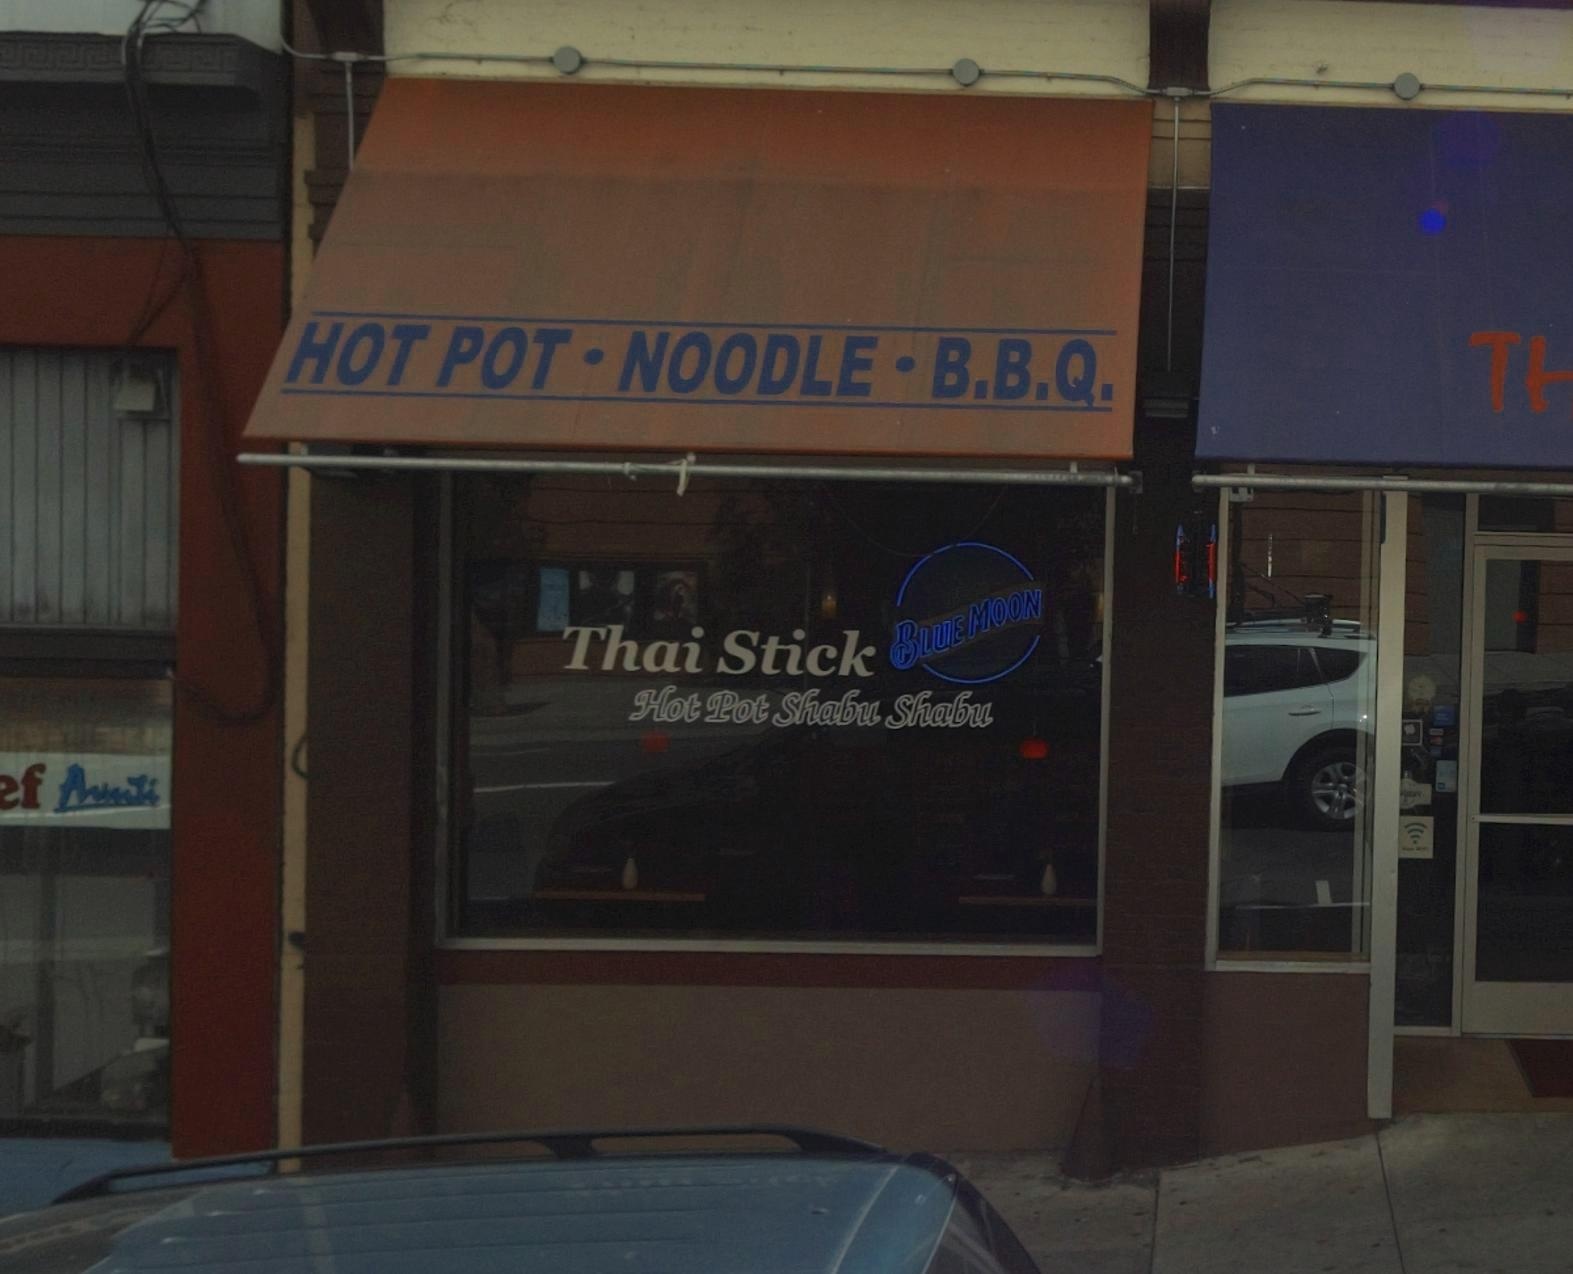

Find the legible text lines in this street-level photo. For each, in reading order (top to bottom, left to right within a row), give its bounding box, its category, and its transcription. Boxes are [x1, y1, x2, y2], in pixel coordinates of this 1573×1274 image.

[276, 315, 1117, 408] None: HOT POT - NOODLE - B.B.Q.
[1459, 326, 1528, 420] None: T
[559, 623, 880, 680] BusinessName: Thai Stick
[887, 587, 1045, 673] None: BLUE MOON
[626, 683, 996, 730] None: Hot Pot Shabu Shabu
[14, 754, 165, 811] None: f AvanTi